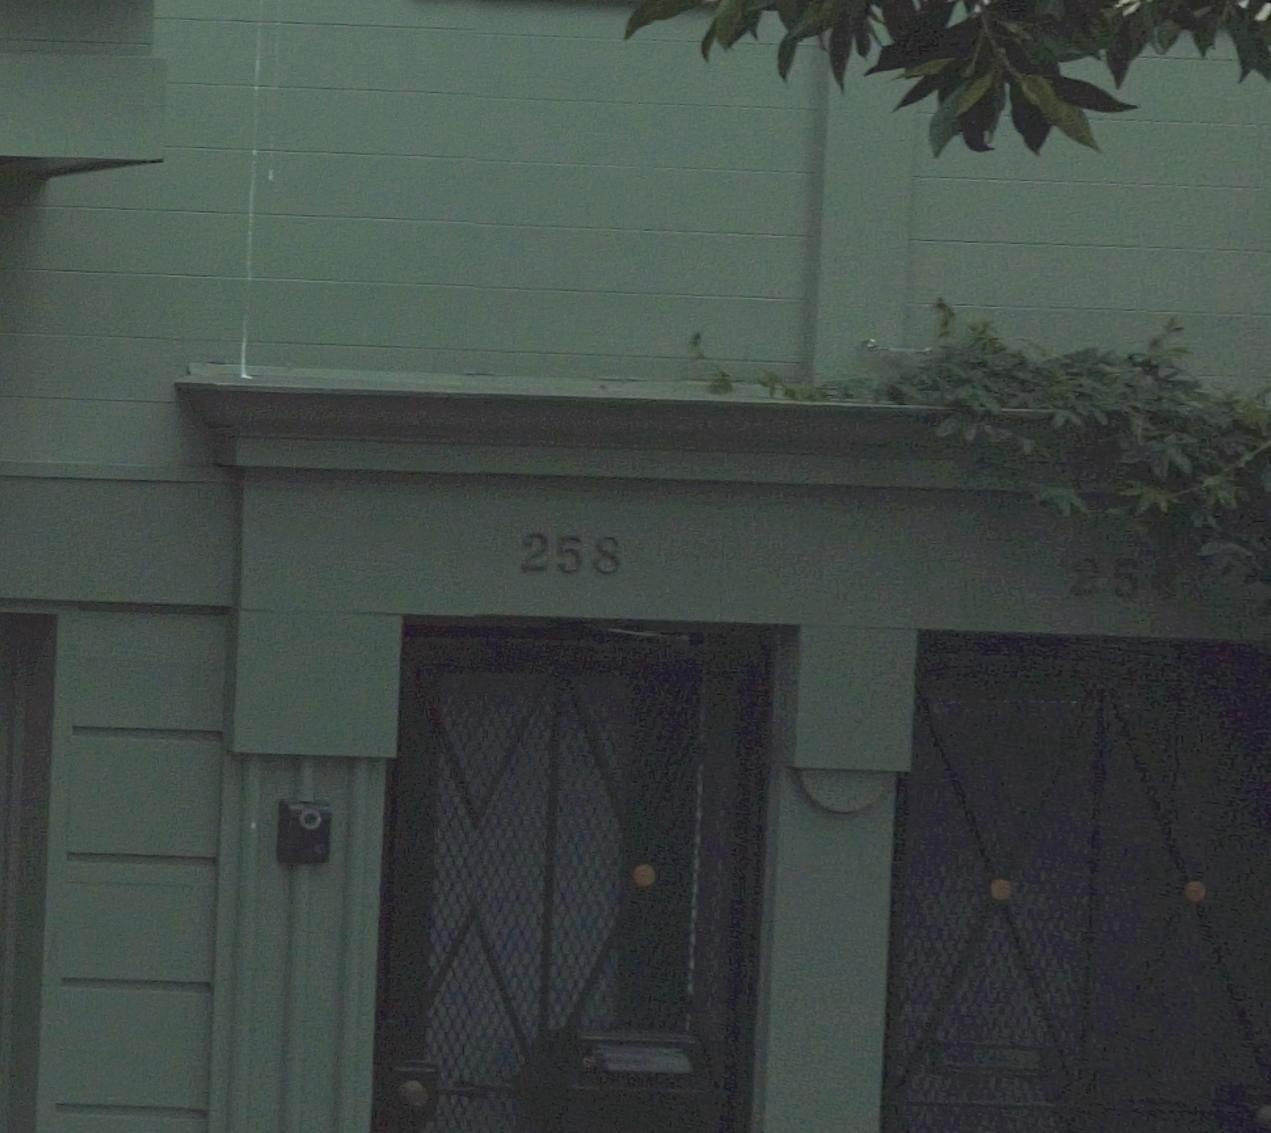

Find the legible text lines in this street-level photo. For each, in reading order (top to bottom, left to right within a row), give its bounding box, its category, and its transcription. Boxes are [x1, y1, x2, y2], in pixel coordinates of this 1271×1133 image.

[518, 529, 623, 579] StreetNumber: 258
[1064, 551, 1143, 601] StreetNumber: 25